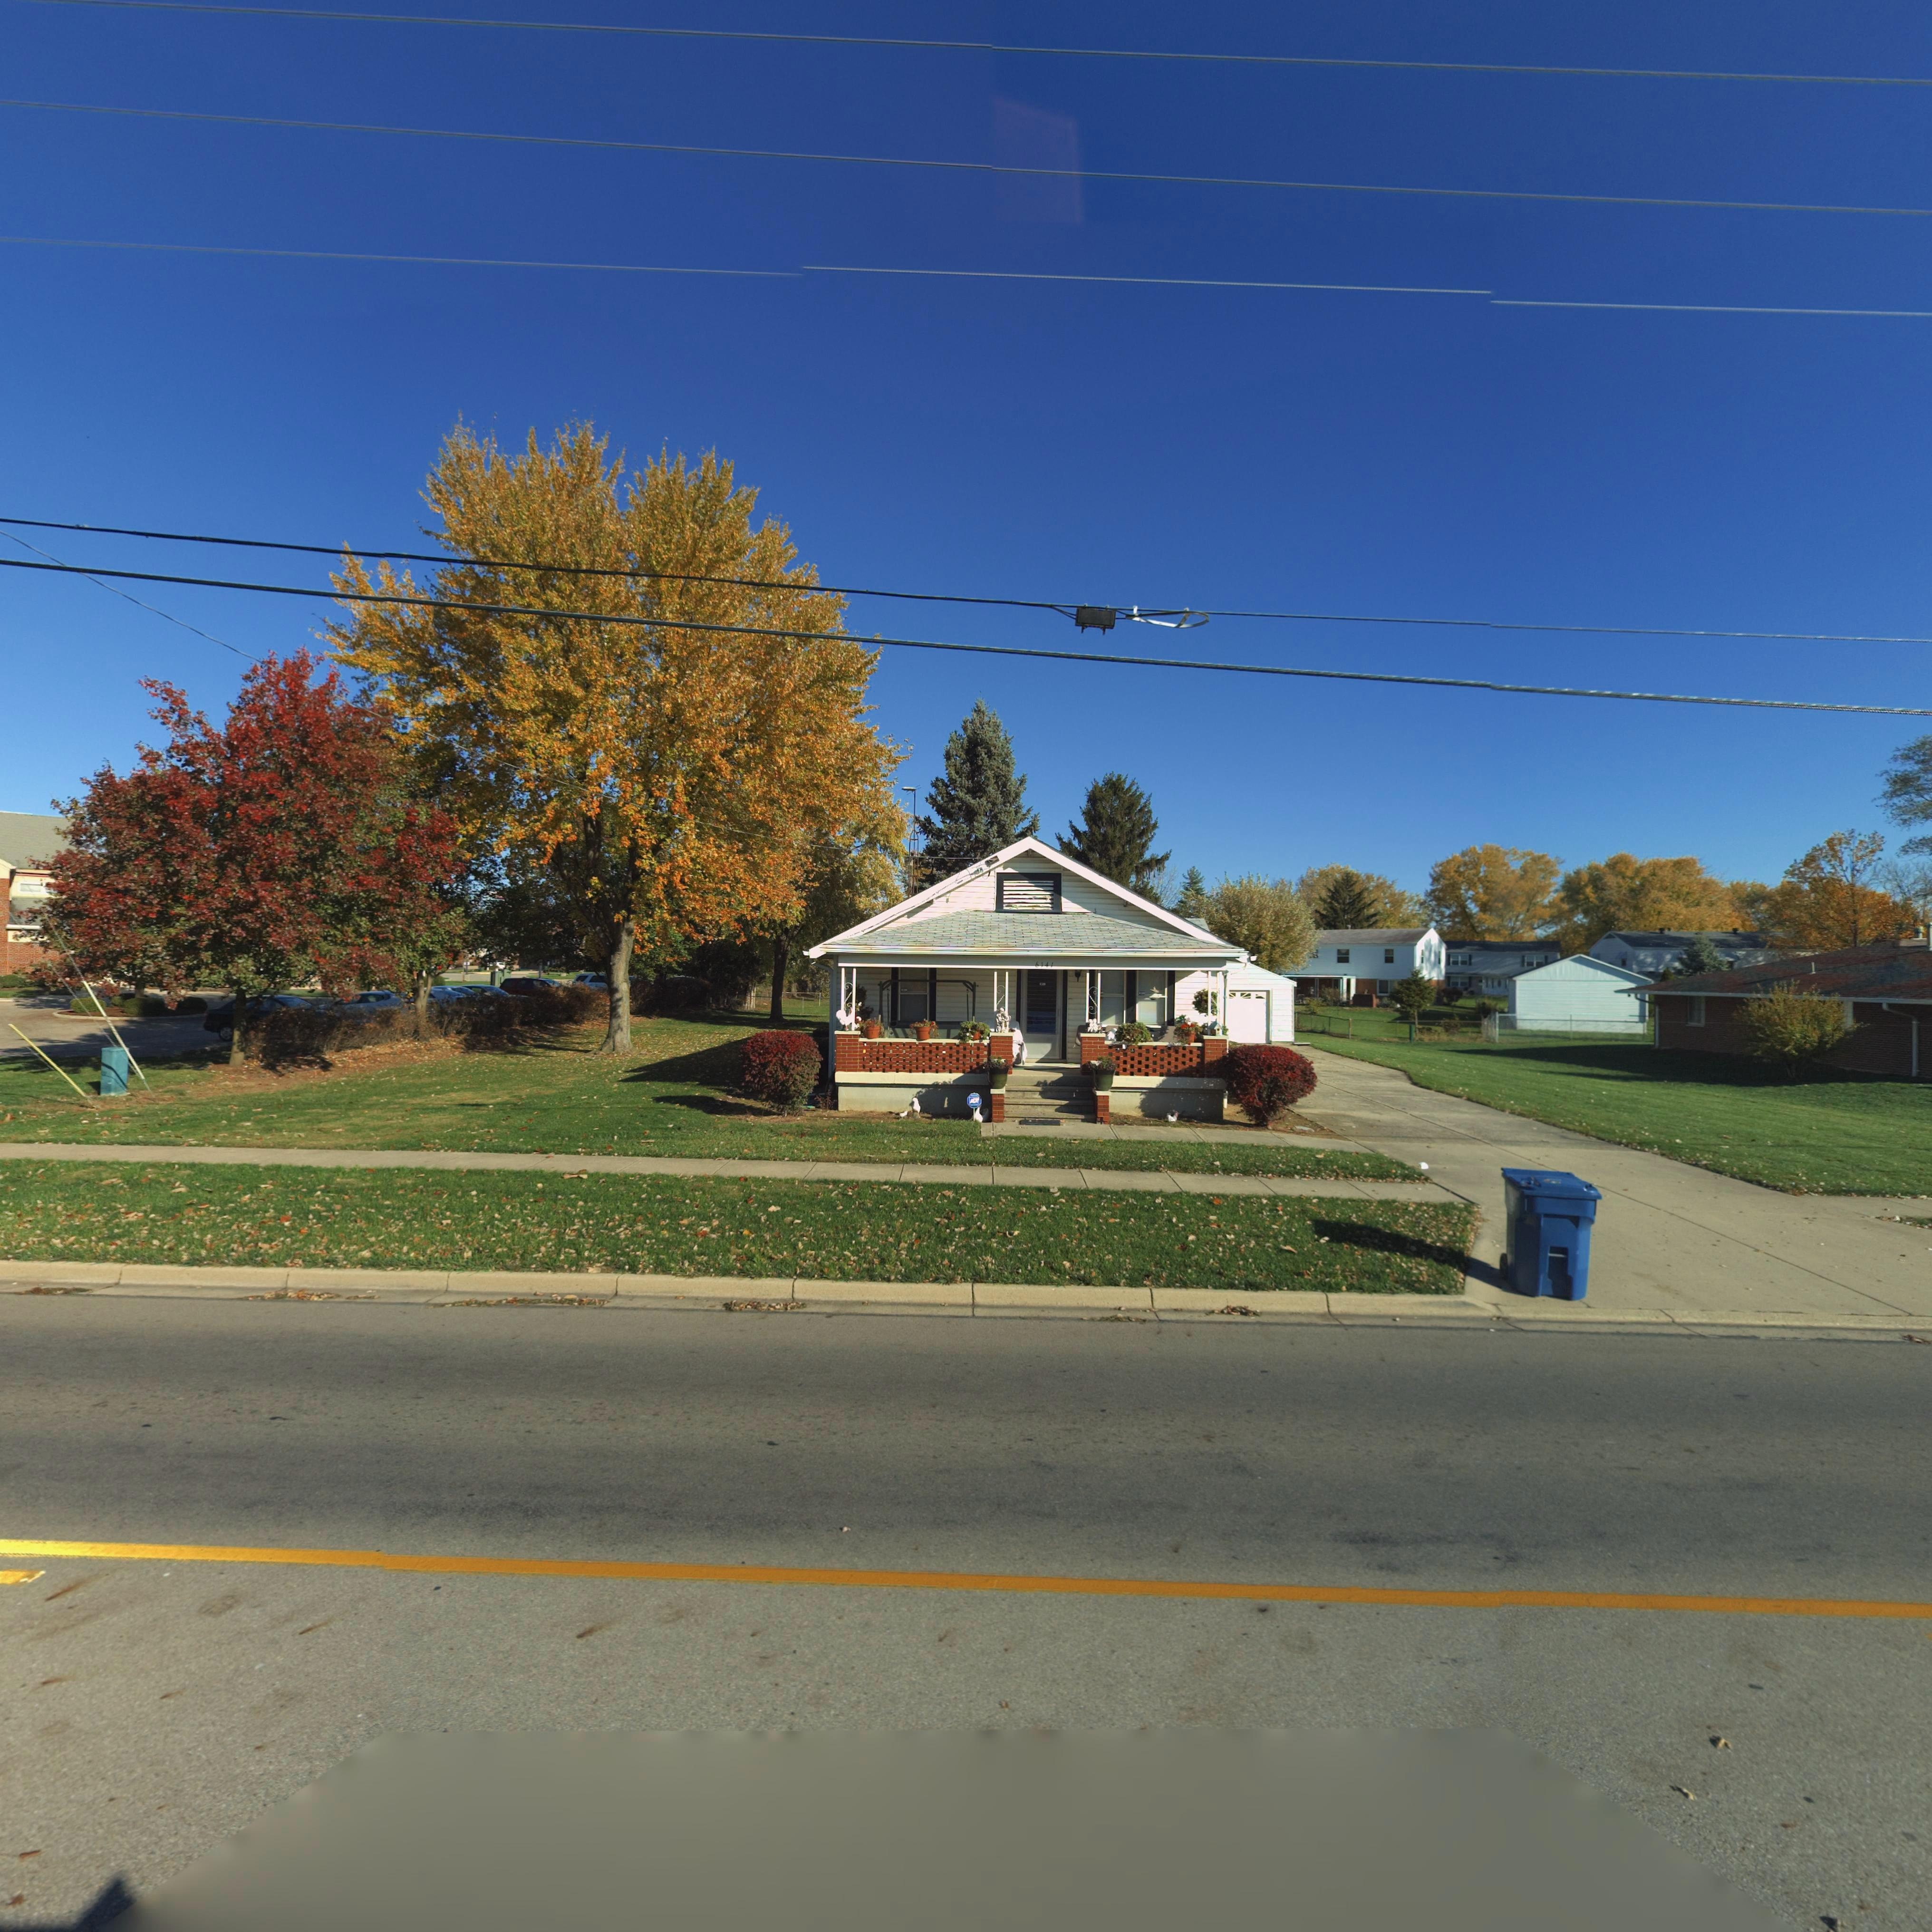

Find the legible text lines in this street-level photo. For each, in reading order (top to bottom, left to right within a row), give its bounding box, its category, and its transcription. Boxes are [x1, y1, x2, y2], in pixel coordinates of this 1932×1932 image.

[1034, 961, 1054, 968] StreetNumber: 6141